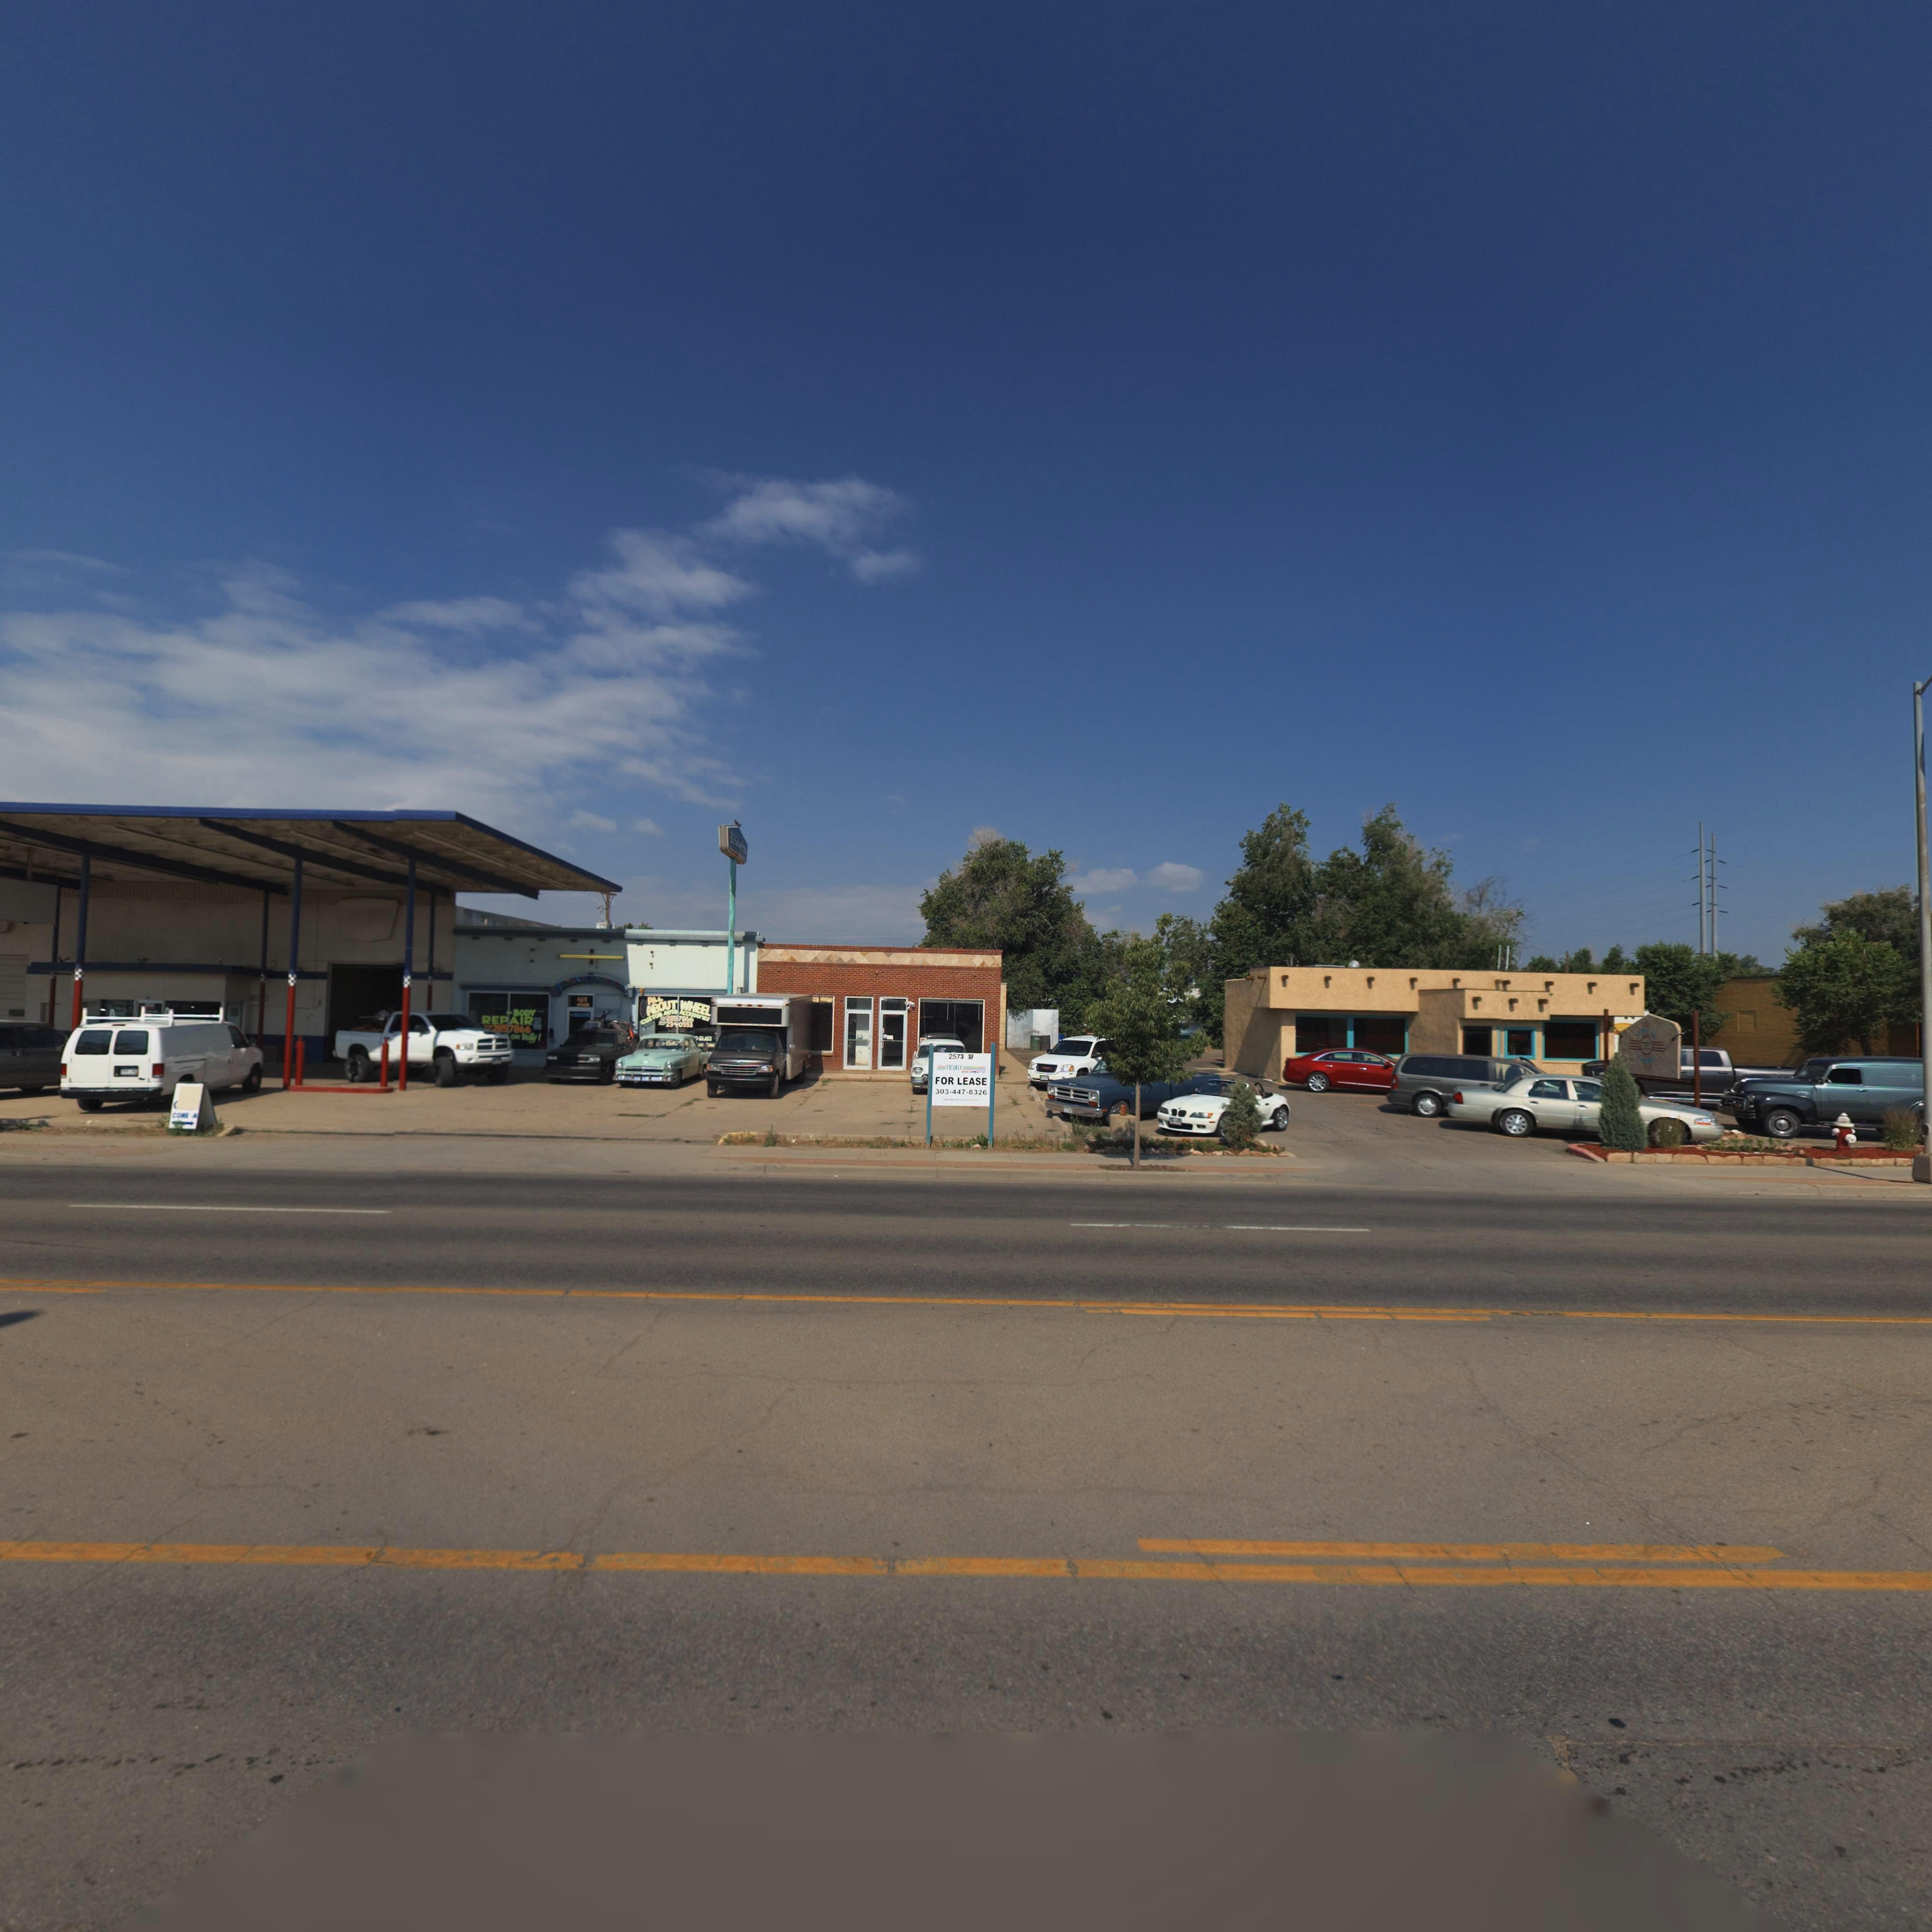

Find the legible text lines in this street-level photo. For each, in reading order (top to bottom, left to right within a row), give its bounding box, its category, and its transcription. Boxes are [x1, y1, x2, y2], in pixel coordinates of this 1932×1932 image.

[576, 996, 584, 1003] StreetNumber: 41
[584, 997, 588, 1002] StreetName: S
[647, 996, 663, 1005] BusinessName: ALL
[576, 1002, 589, 1006] StreetName: MAIN
[647, 999, 711, 1016] BusinessName: ABOUT WHEEL